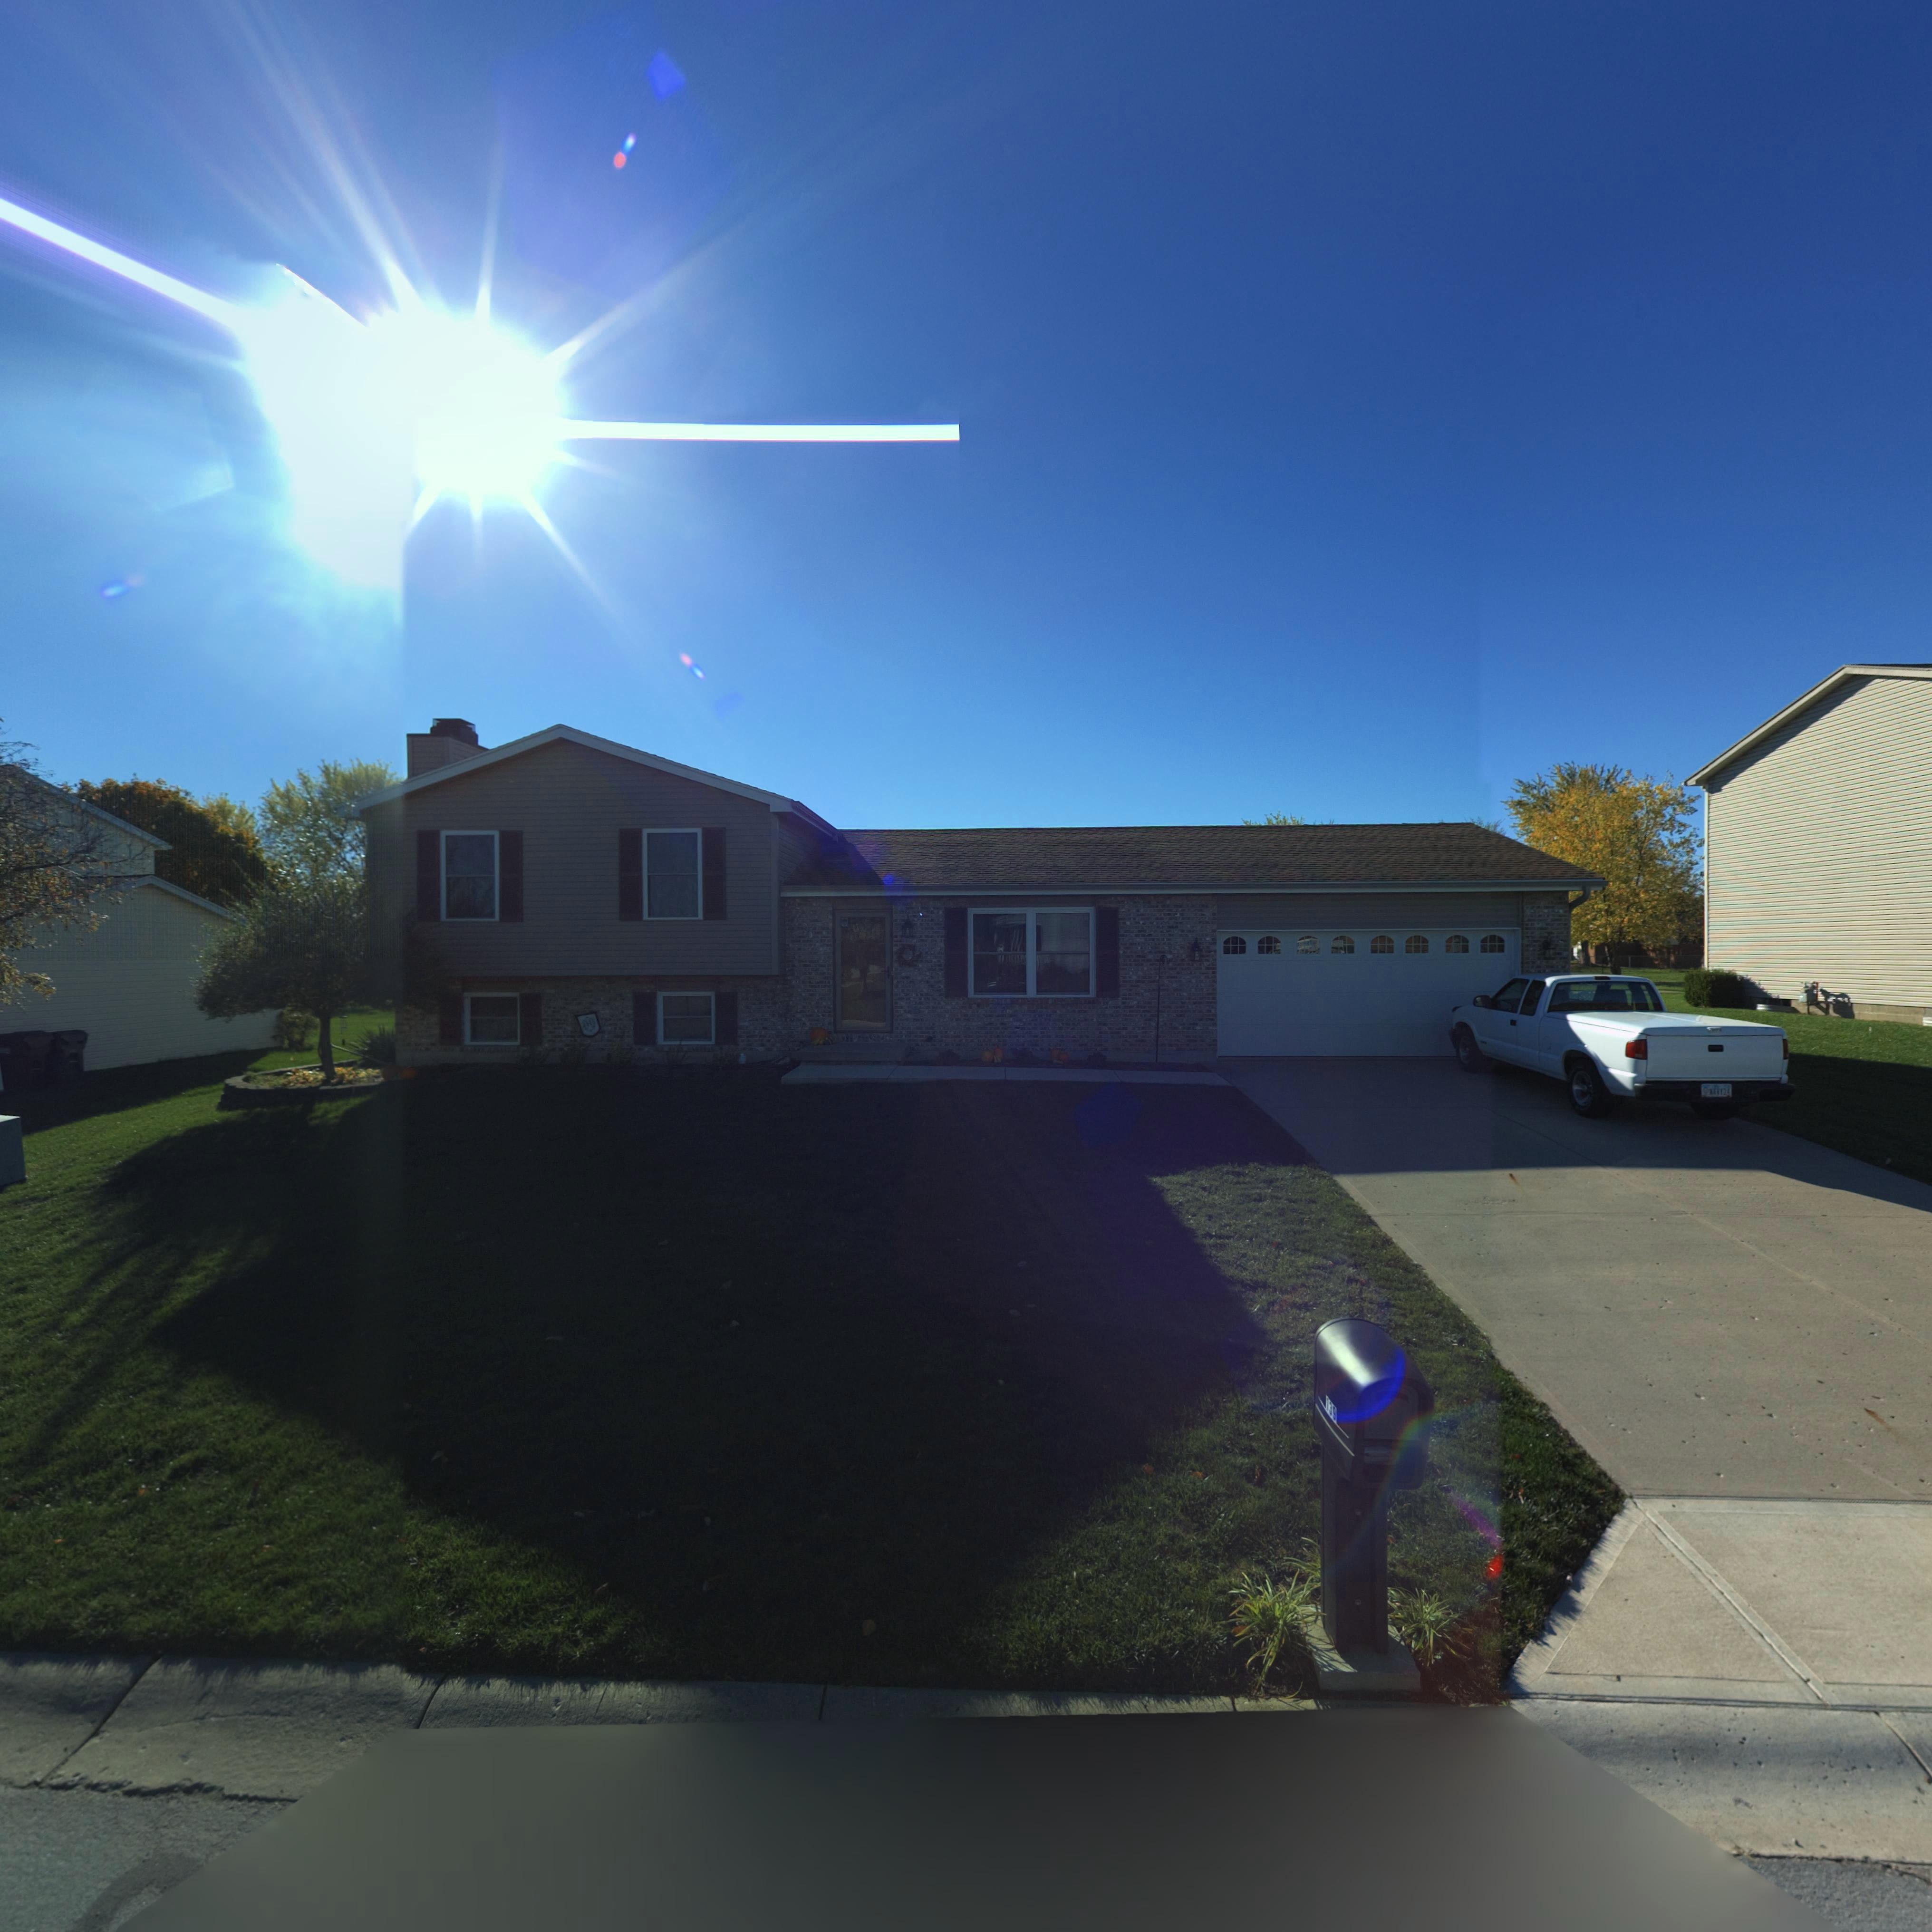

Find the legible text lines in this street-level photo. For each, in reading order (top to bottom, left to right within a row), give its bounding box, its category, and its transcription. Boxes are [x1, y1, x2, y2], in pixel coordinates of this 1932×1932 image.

[1325, 1394, 1337, 1423] StreetNumber: 139